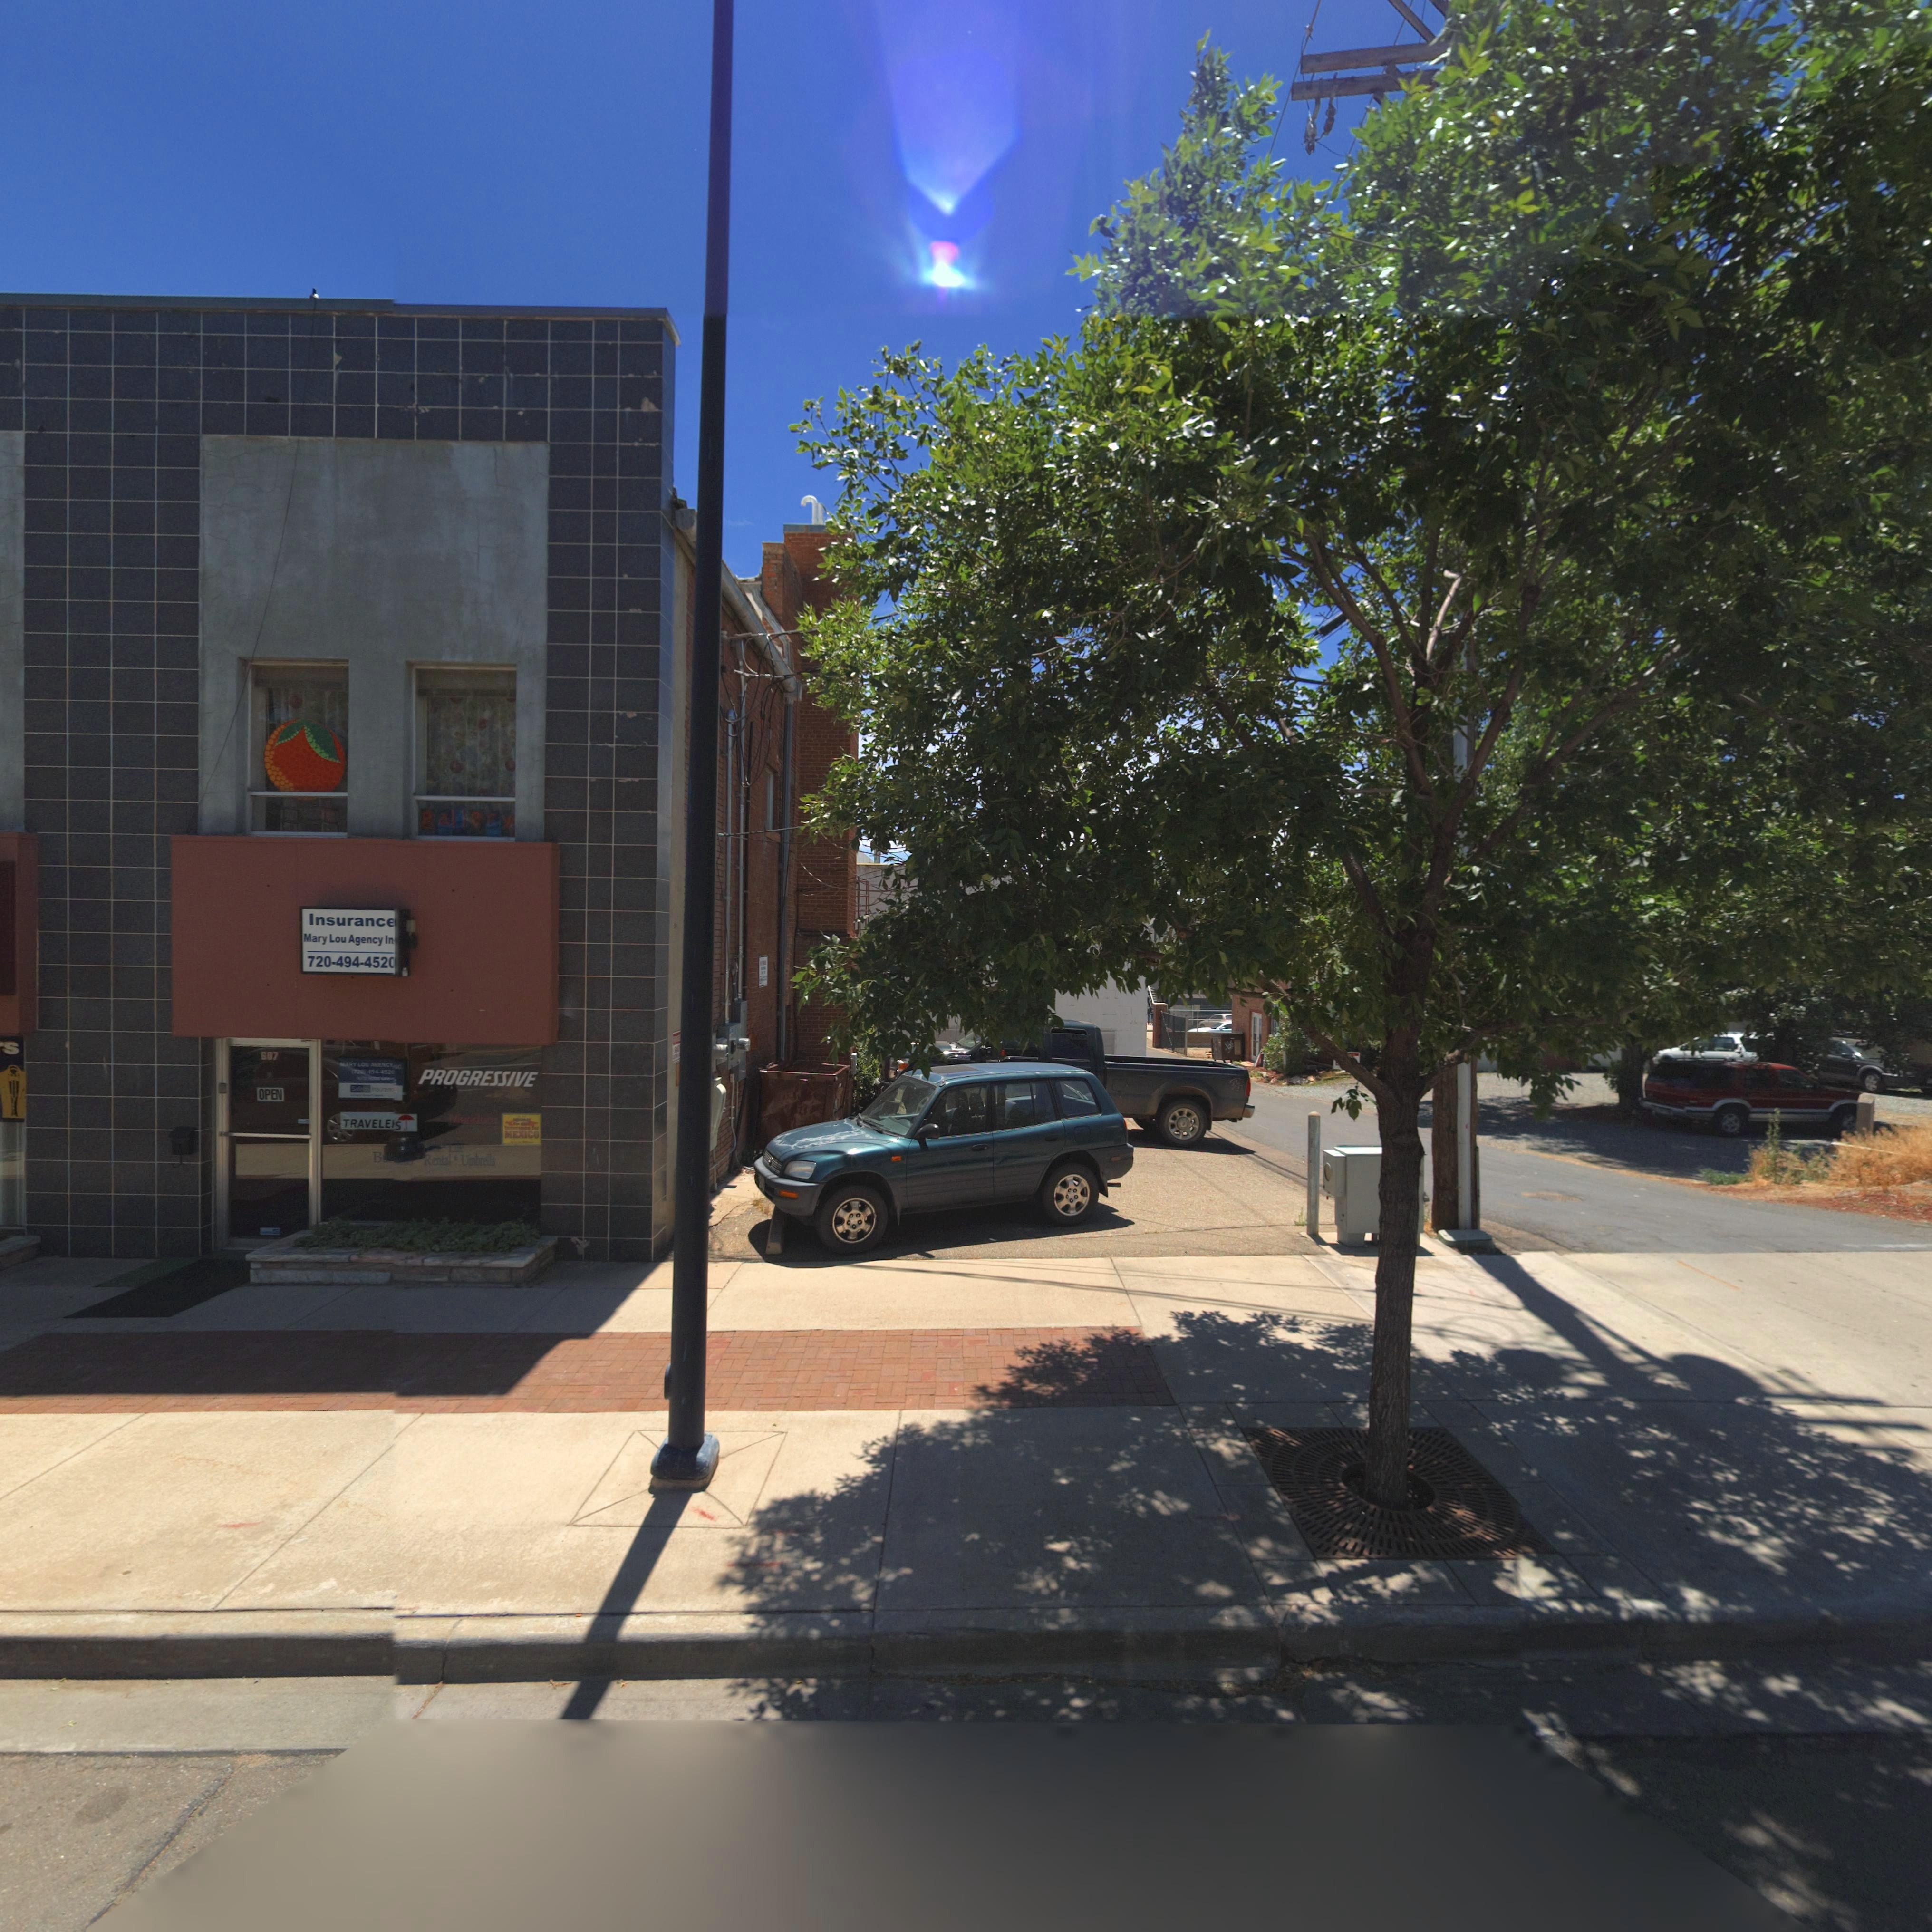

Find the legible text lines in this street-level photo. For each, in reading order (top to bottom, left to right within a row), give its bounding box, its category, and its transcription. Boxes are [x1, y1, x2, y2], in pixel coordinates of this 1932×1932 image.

[303, 933, 395, 947] BusinessName: Mary Lou Agency In*
[261, 1051, 279, 1060] StreetNumber: 607
[339, 1061, 402, 1069] BusinessName: MARY LOU AGENGY INC
[417, 1069, 539, 1087] BusinessName: PROGRESSIVE